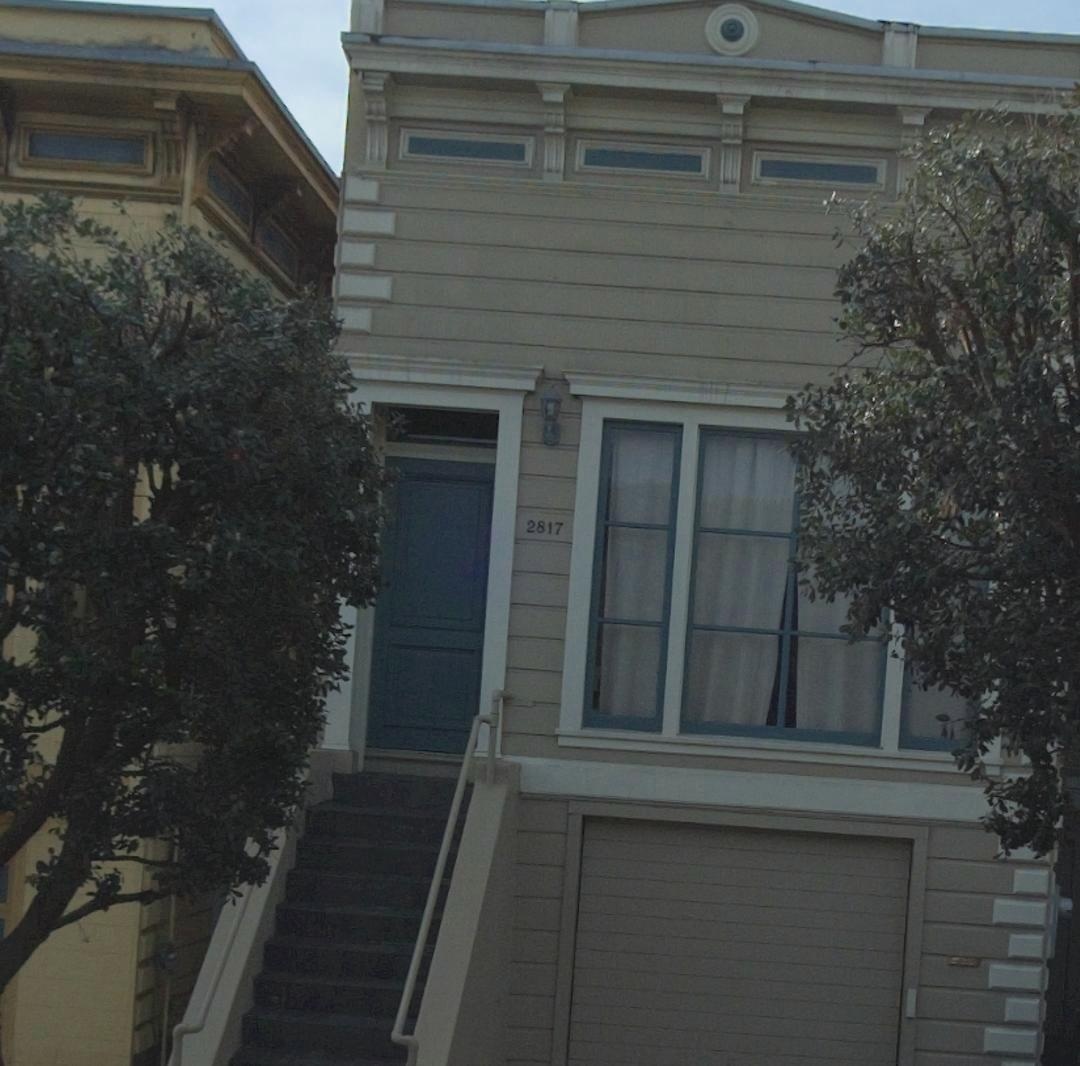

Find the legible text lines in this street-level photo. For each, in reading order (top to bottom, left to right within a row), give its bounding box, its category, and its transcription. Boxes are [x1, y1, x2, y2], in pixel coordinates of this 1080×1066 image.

[521, 516, 568, 539] StreetNumber: 2817